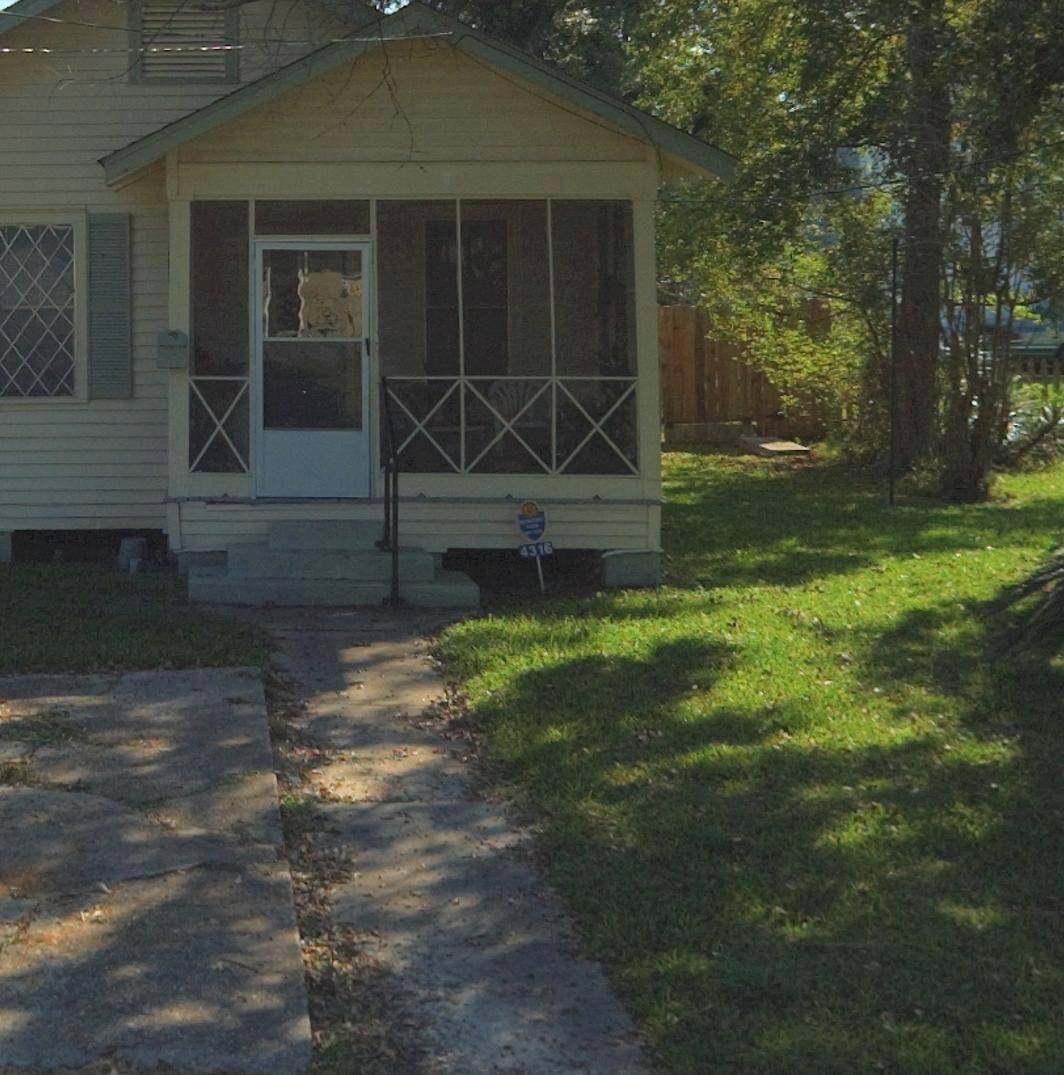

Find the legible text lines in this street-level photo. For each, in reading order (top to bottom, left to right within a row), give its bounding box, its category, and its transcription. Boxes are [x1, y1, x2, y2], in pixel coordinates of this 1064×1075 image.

[519, 541, 554, 558] StreetNumber: 4316